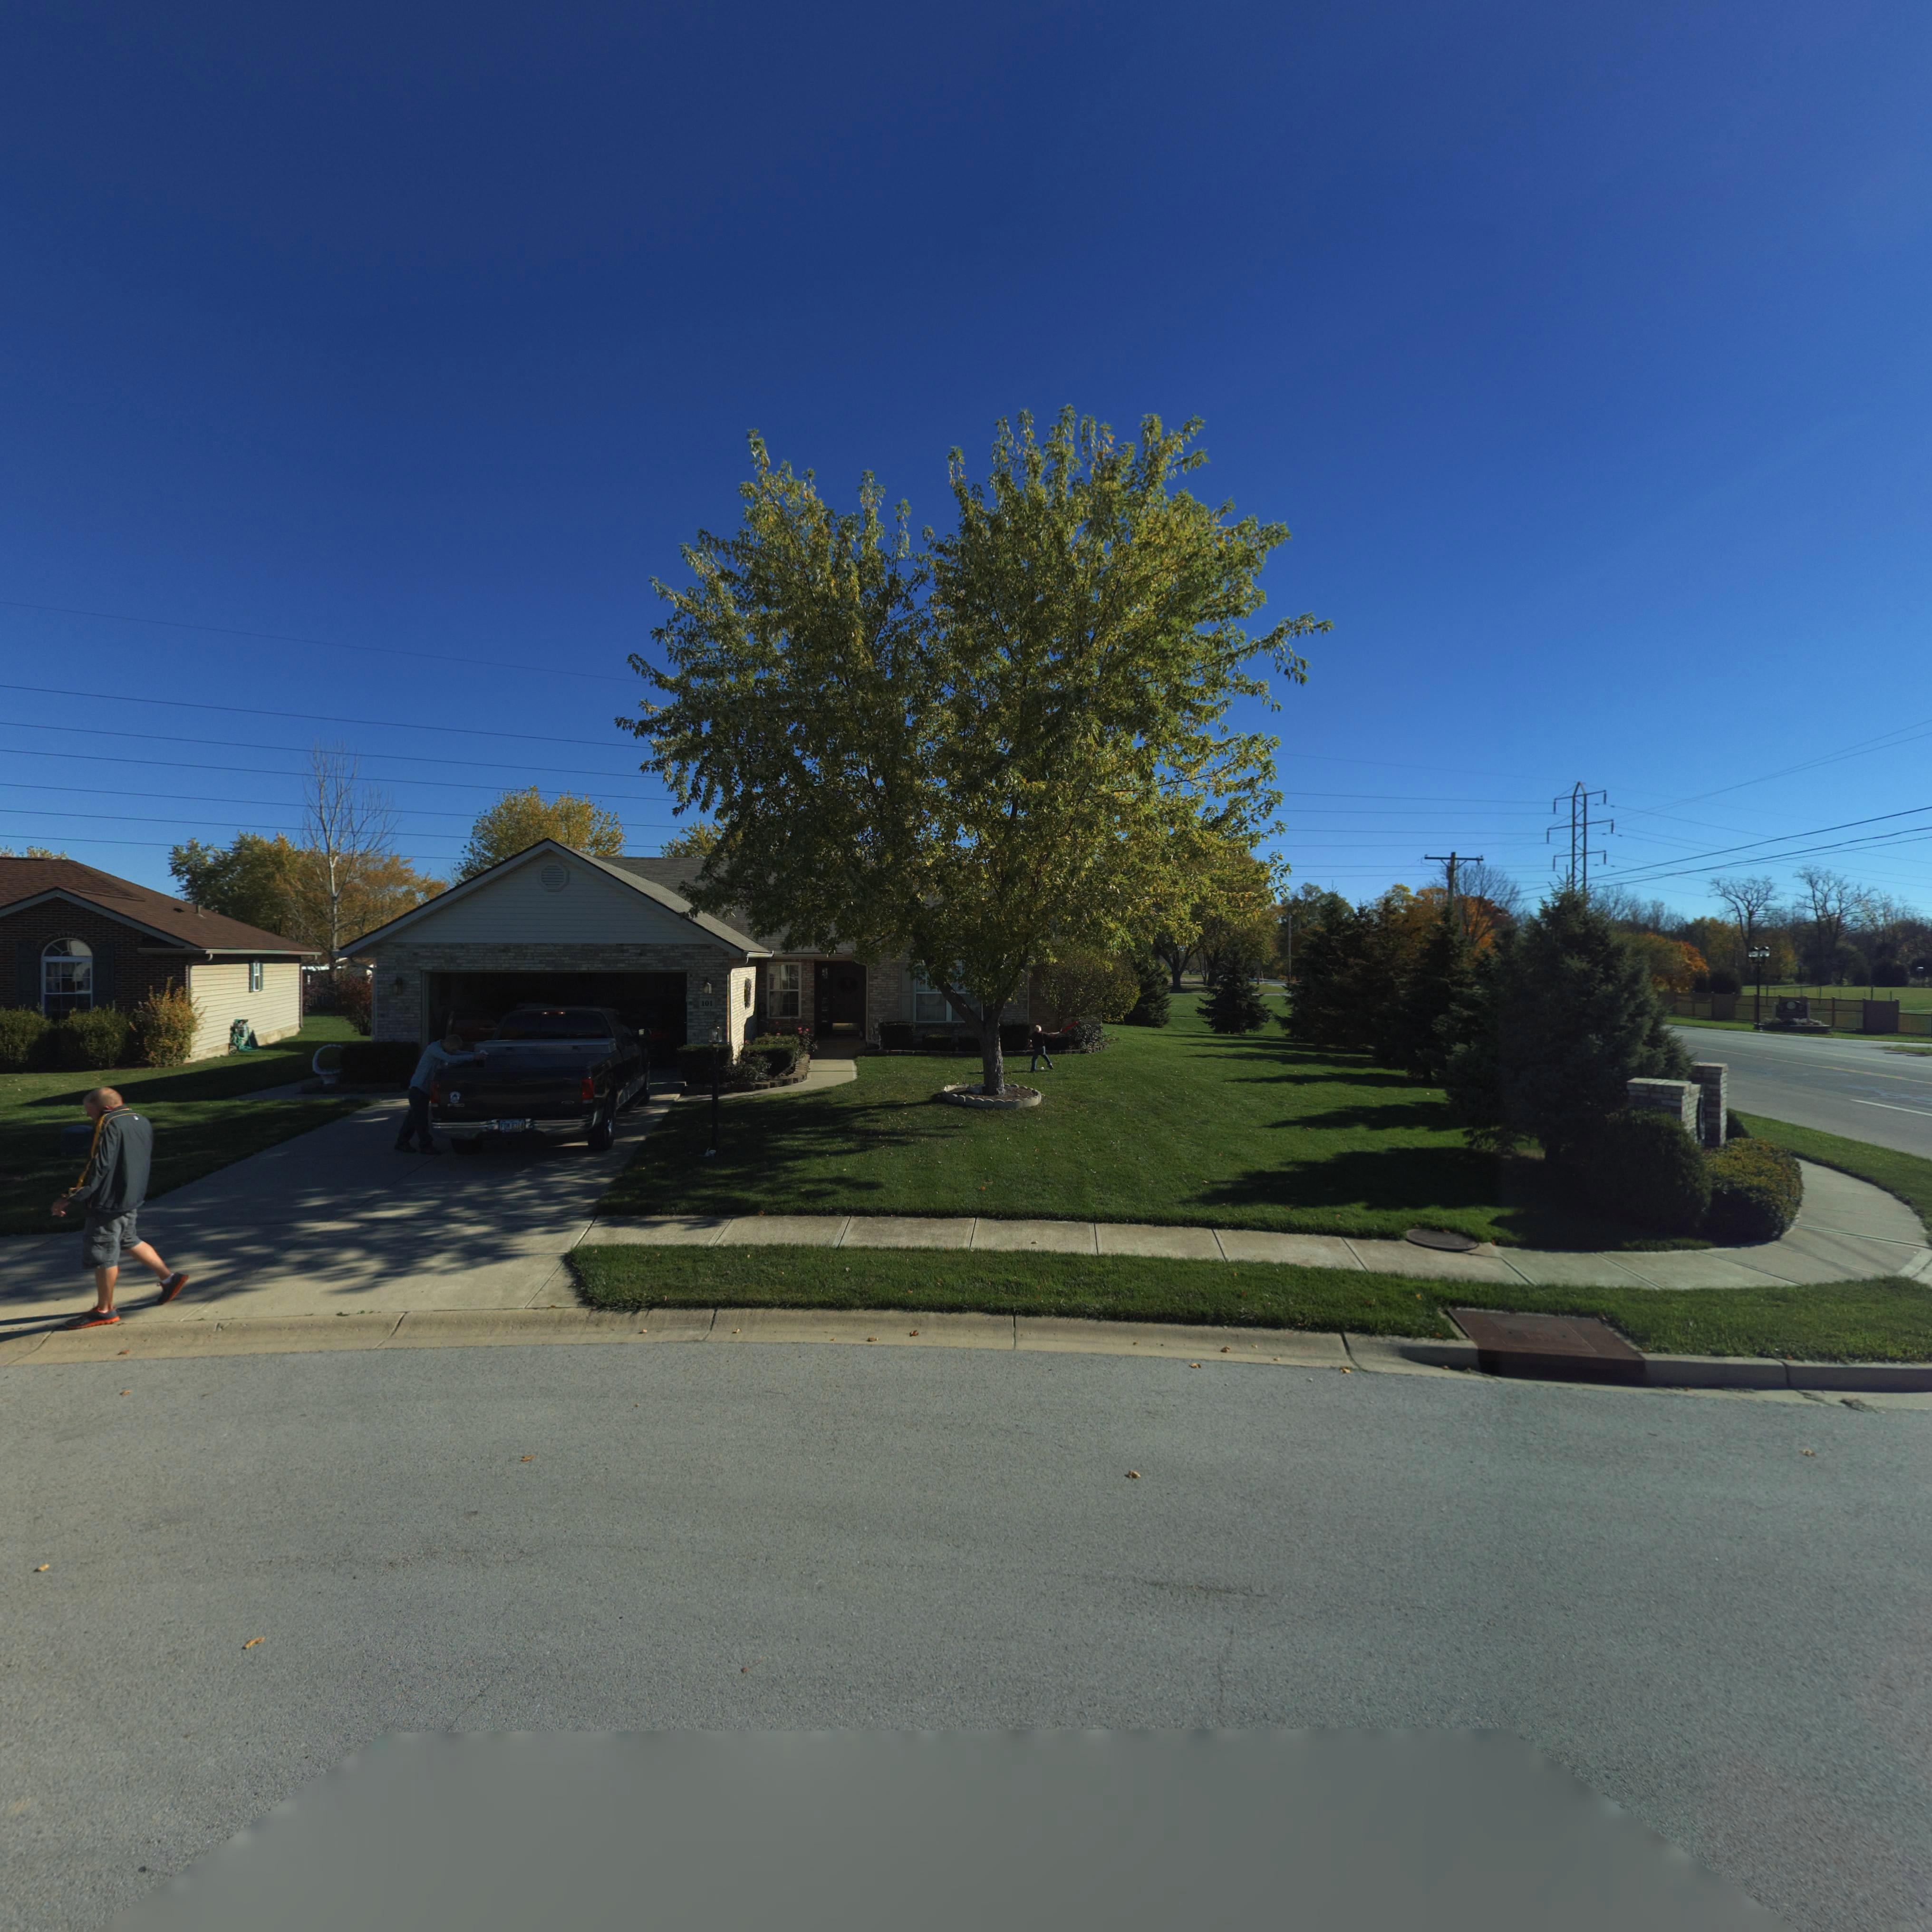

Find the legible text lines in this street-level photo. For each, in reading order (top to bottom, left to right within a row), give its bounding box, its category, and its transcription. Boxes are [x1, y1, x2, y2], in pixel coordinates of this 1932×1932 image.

[701, 1000, 713, 1007] StreetNumber: 101